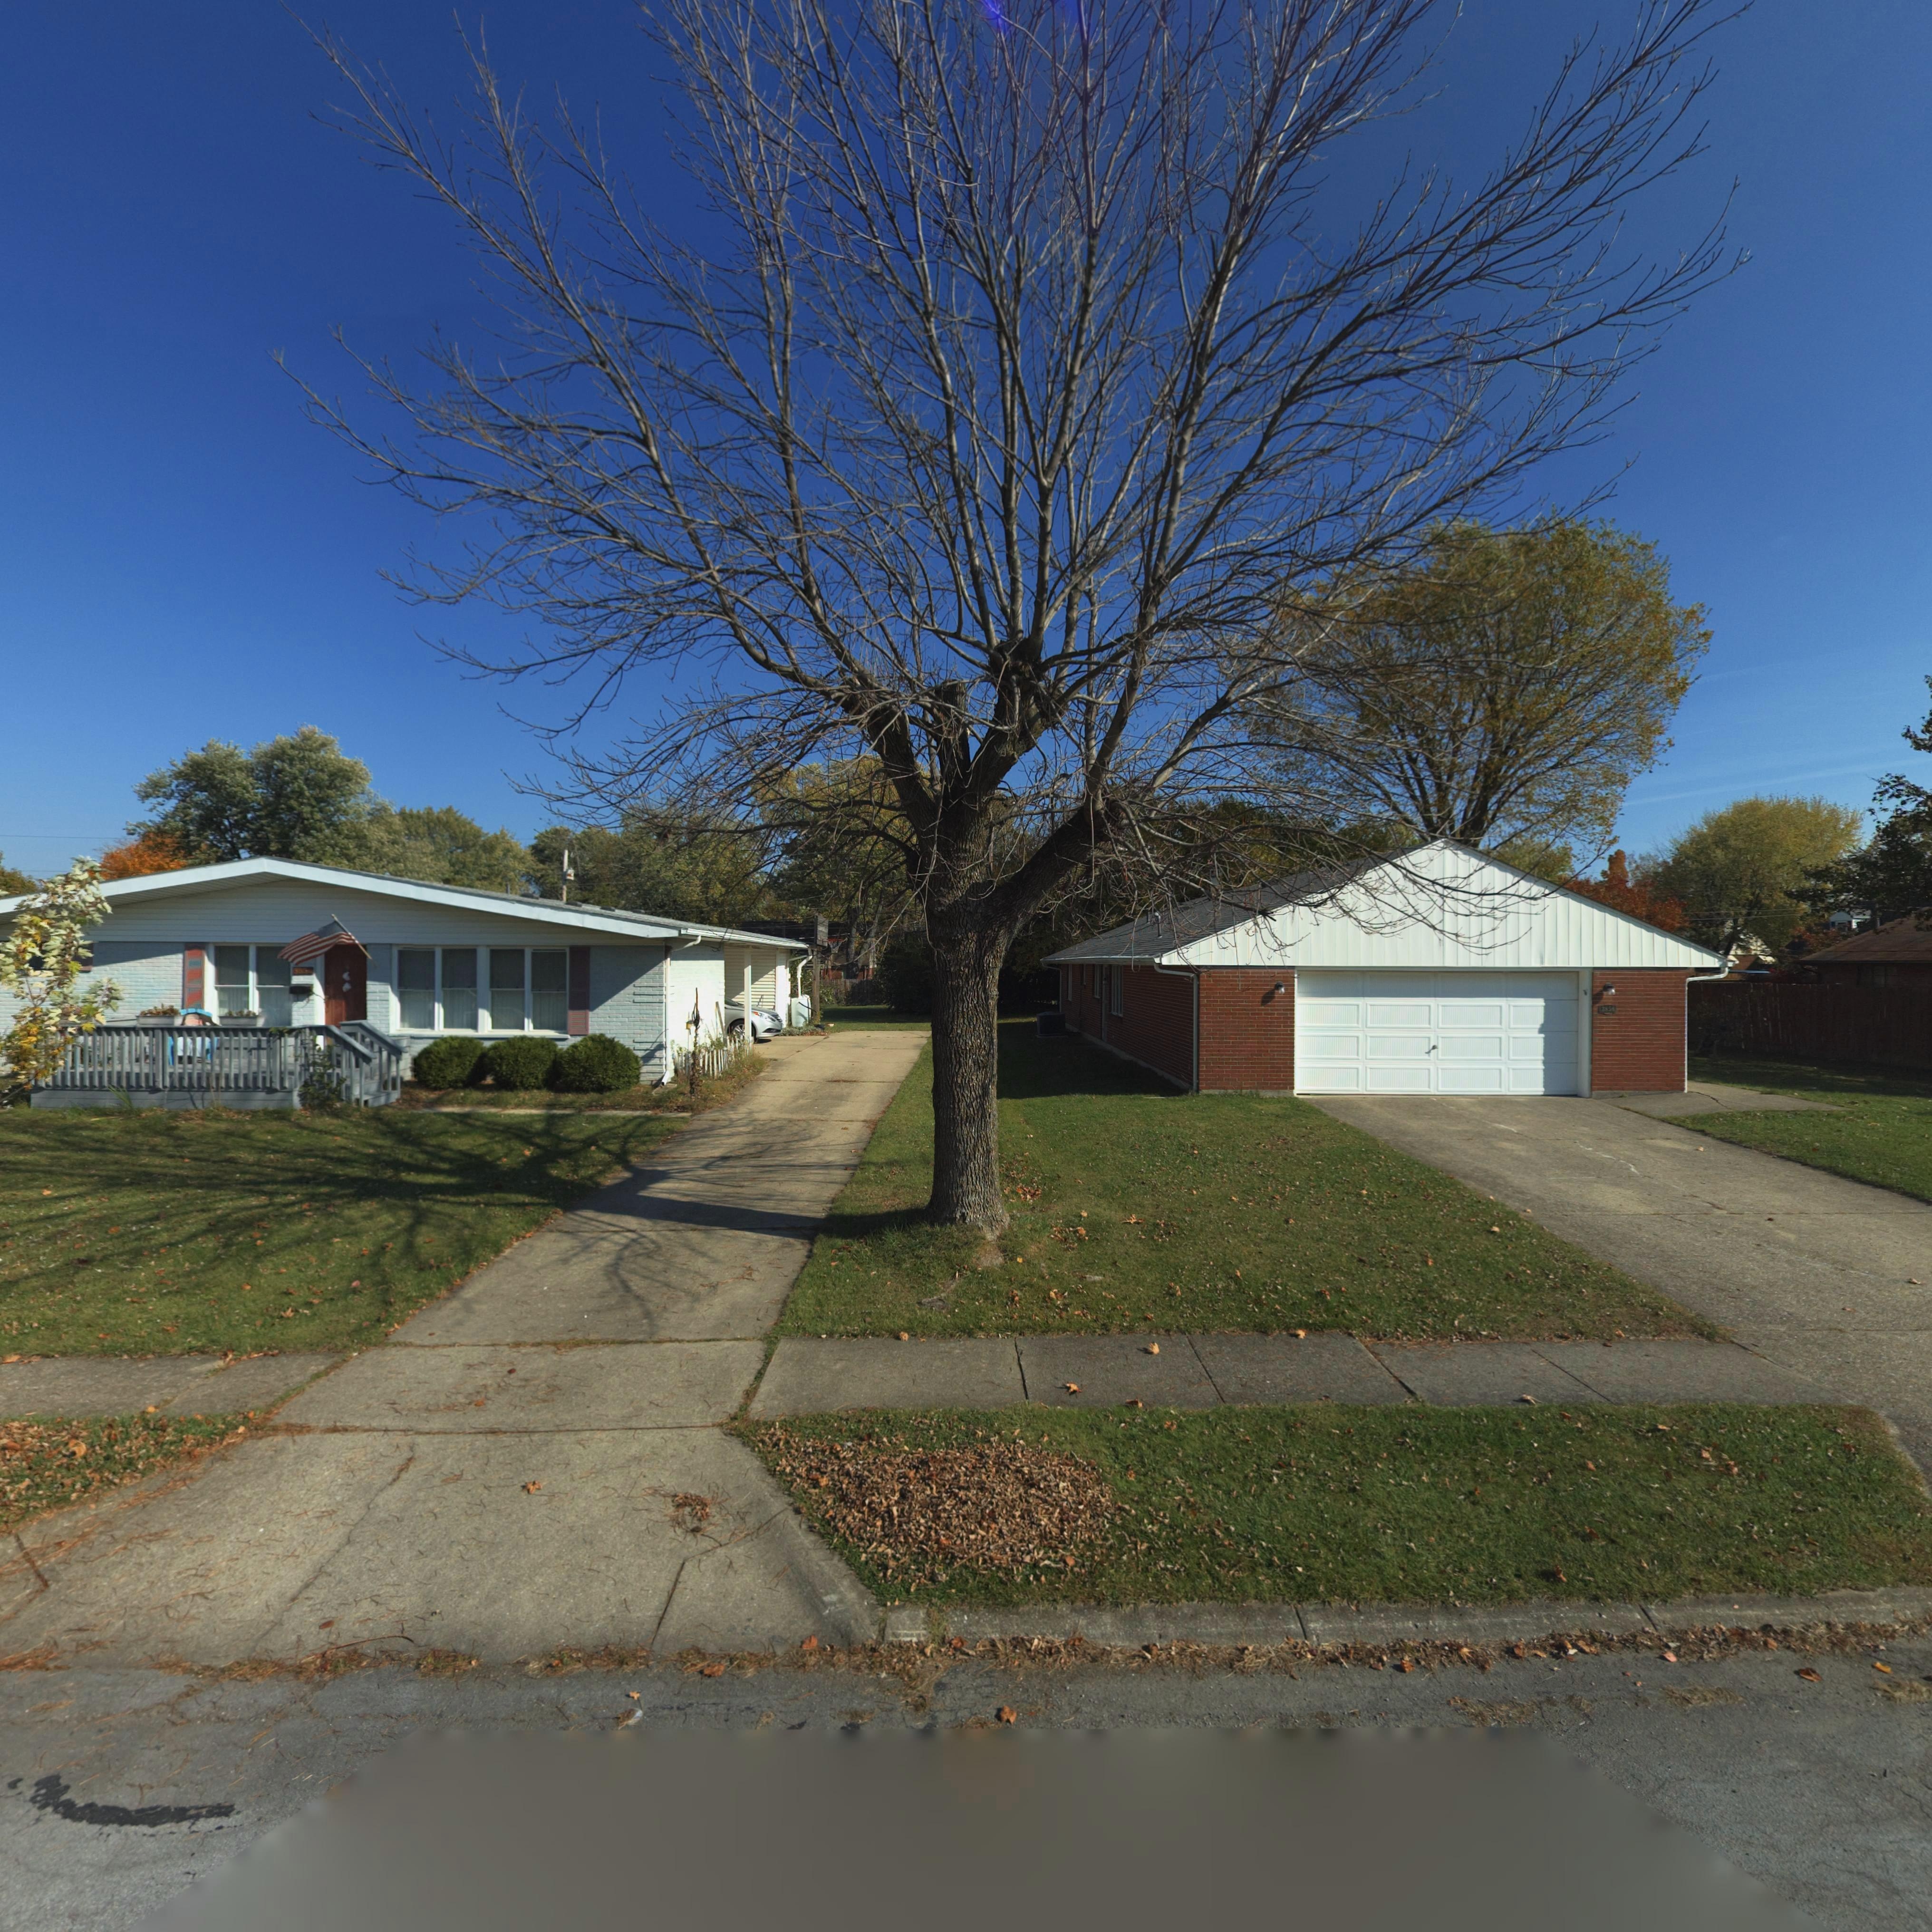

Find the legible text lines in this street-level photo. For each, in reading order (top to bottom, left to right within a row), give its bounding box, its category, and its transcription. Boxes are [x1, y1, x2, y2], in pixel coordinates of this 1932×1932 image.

[1601, 1006, 1615, 1012] StreetNumber: 385*